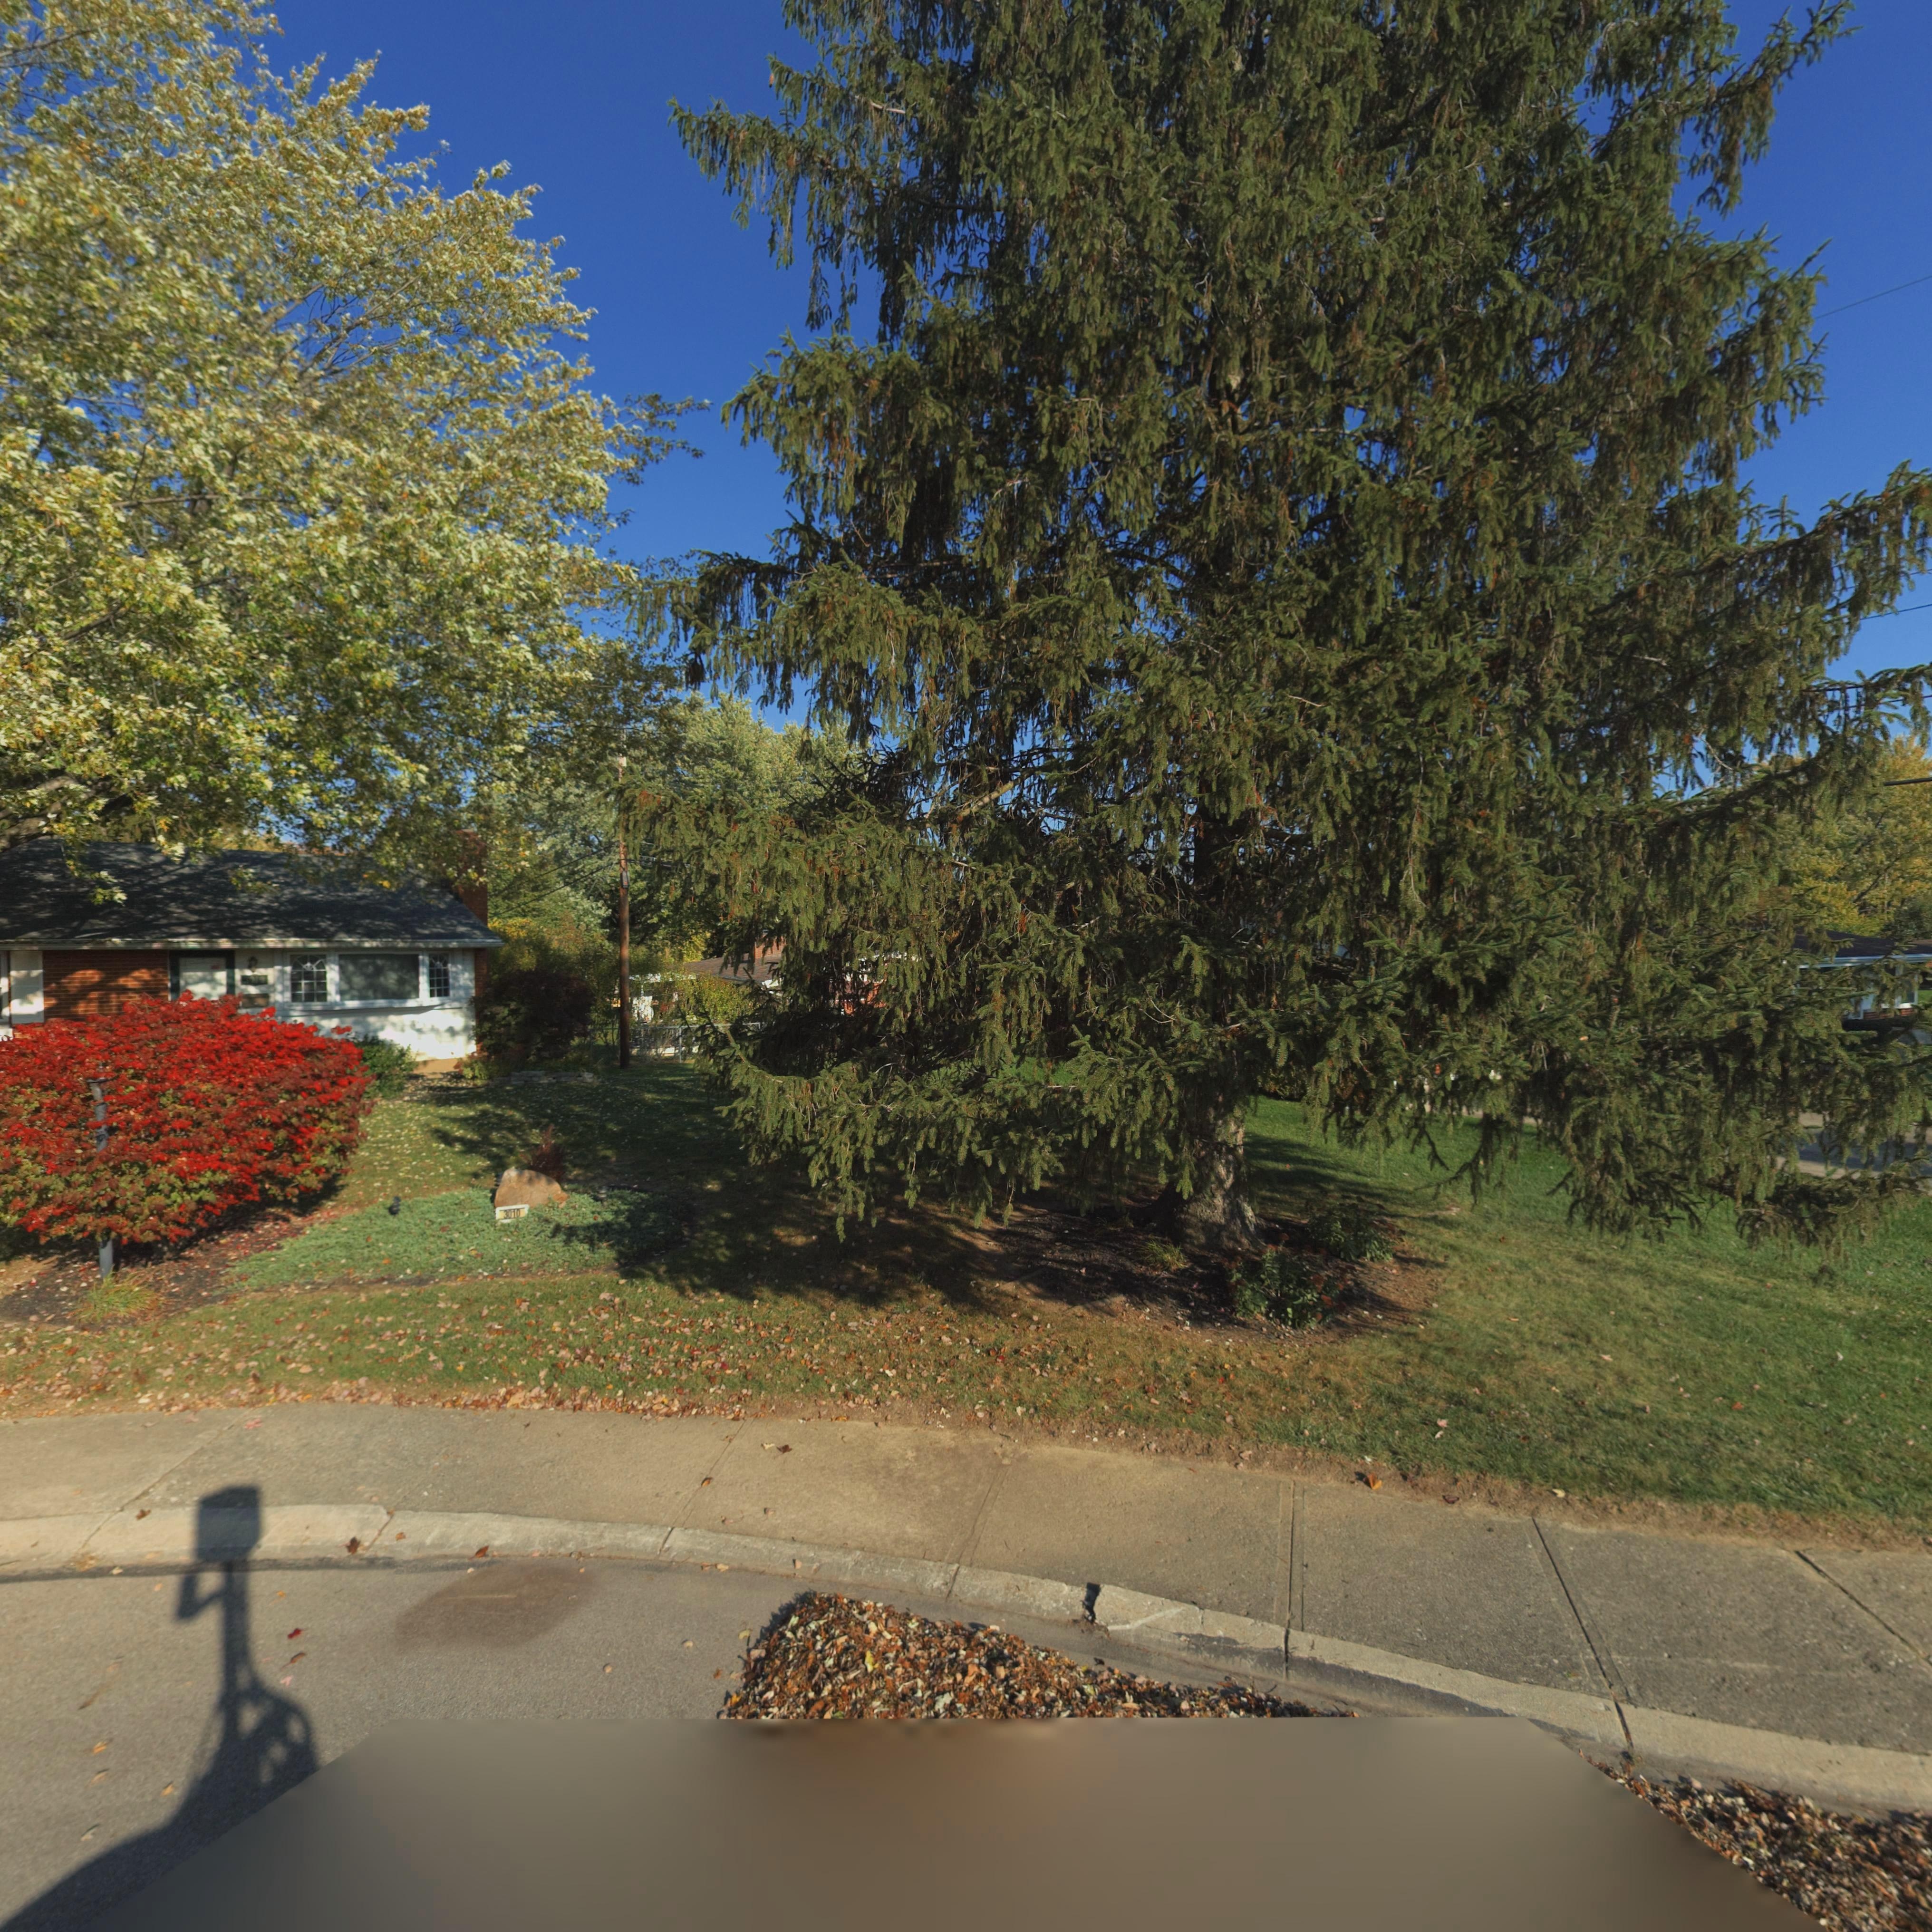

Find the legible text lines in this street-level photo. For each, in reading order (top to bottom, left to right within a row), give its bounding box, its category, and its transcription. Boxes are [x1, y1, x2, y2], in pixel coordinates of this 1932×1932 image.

[242, 976, 266, 985] StreetNumber: 3*10
[503, 1208, 521, 1219] StreetNumber: 3010